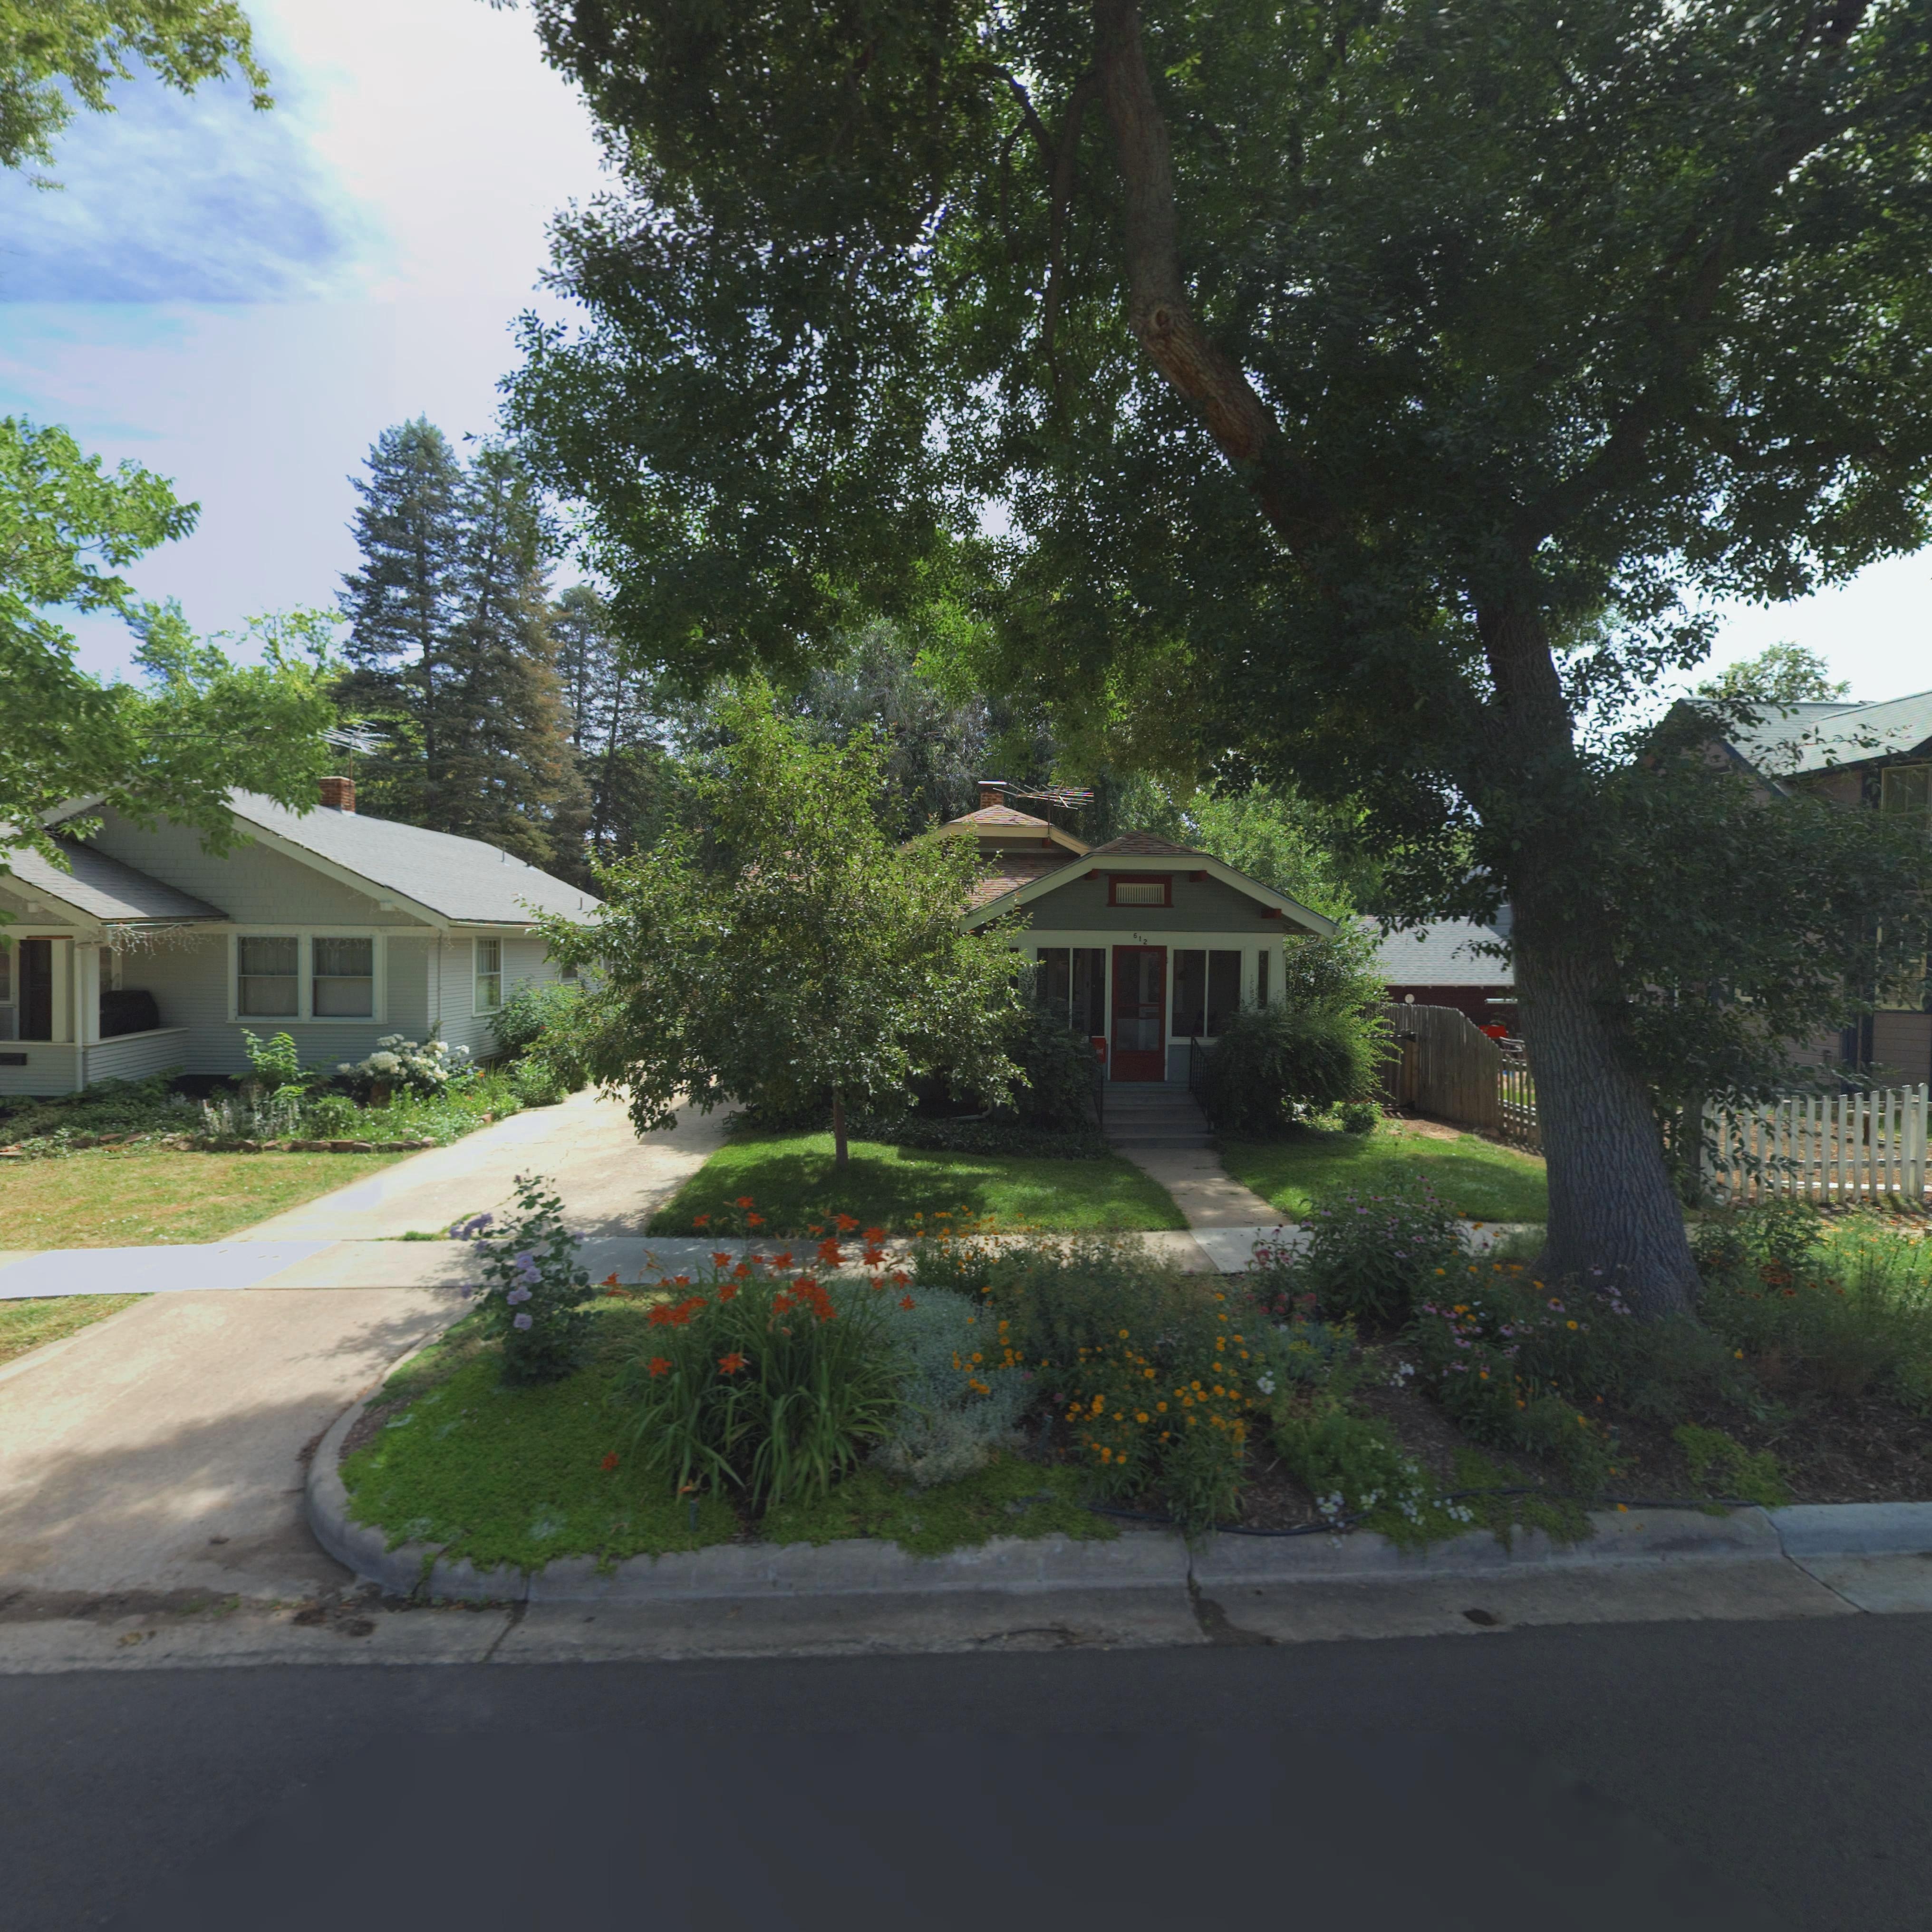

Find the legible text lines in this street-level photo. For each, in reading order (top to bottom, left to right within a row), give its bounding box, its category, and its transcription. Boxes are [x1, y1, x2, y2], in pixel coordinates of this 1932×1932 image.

[1131, 932, 1148, 946] StreetNumber: 612